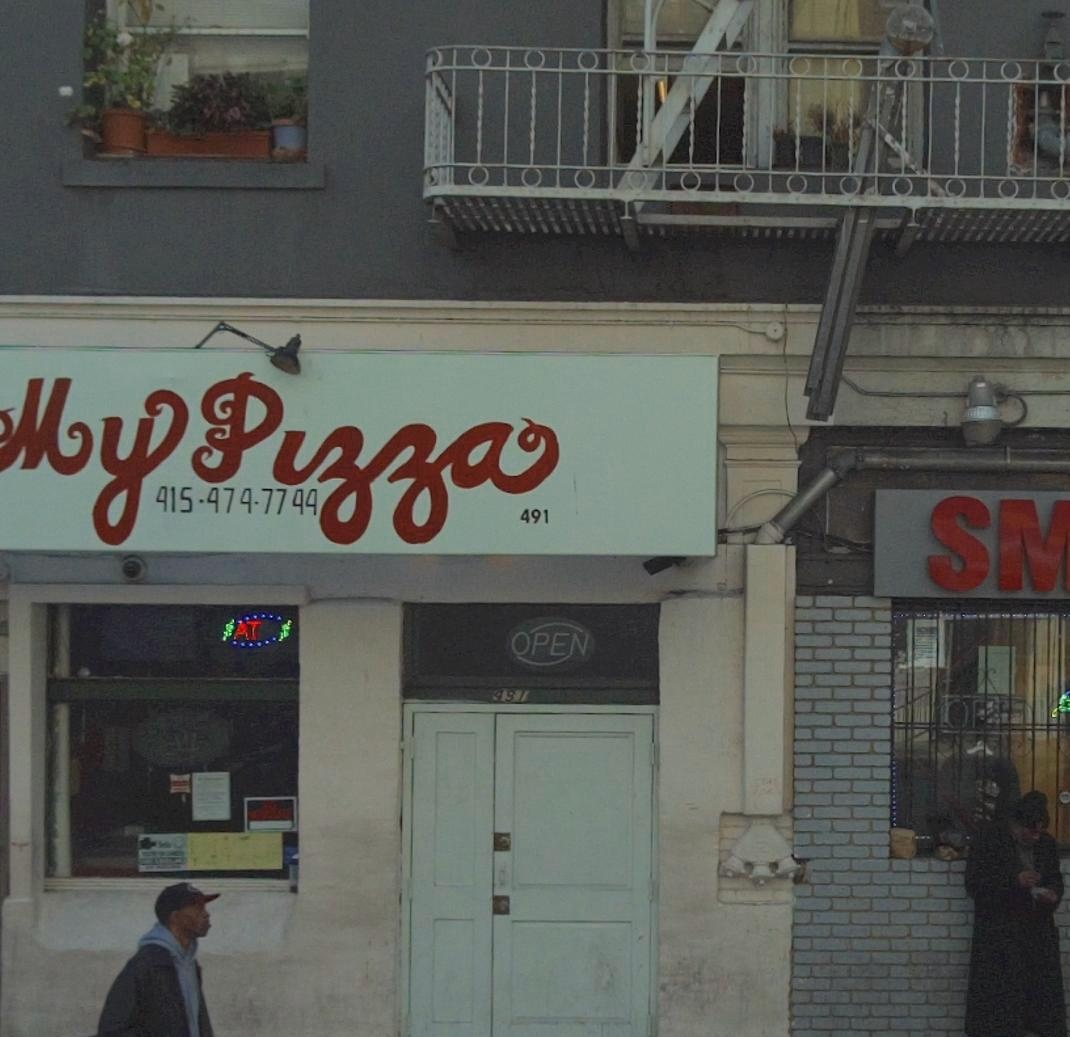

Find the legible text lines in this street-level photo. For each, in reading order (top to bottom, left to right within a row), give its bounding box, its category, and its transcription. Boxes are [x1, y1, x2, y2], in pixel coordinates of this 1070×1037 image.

[2, 365, 576, 555] BusinessName: My Pizza
[150, 481, 322, 523] None: 415*474*7744
[518, 506, 554, 529] StreetNumber: 491
[919, 492, 998, 599] BusinessName: S
[229, 615, 265, 644] None: AT
[507, 626, 594, 661] None: OPEN
[488, 687, 532, 705] StreetNumber: 491
[940, 695, 974, 736] None: O
[267, 799, 278, 812] None: O